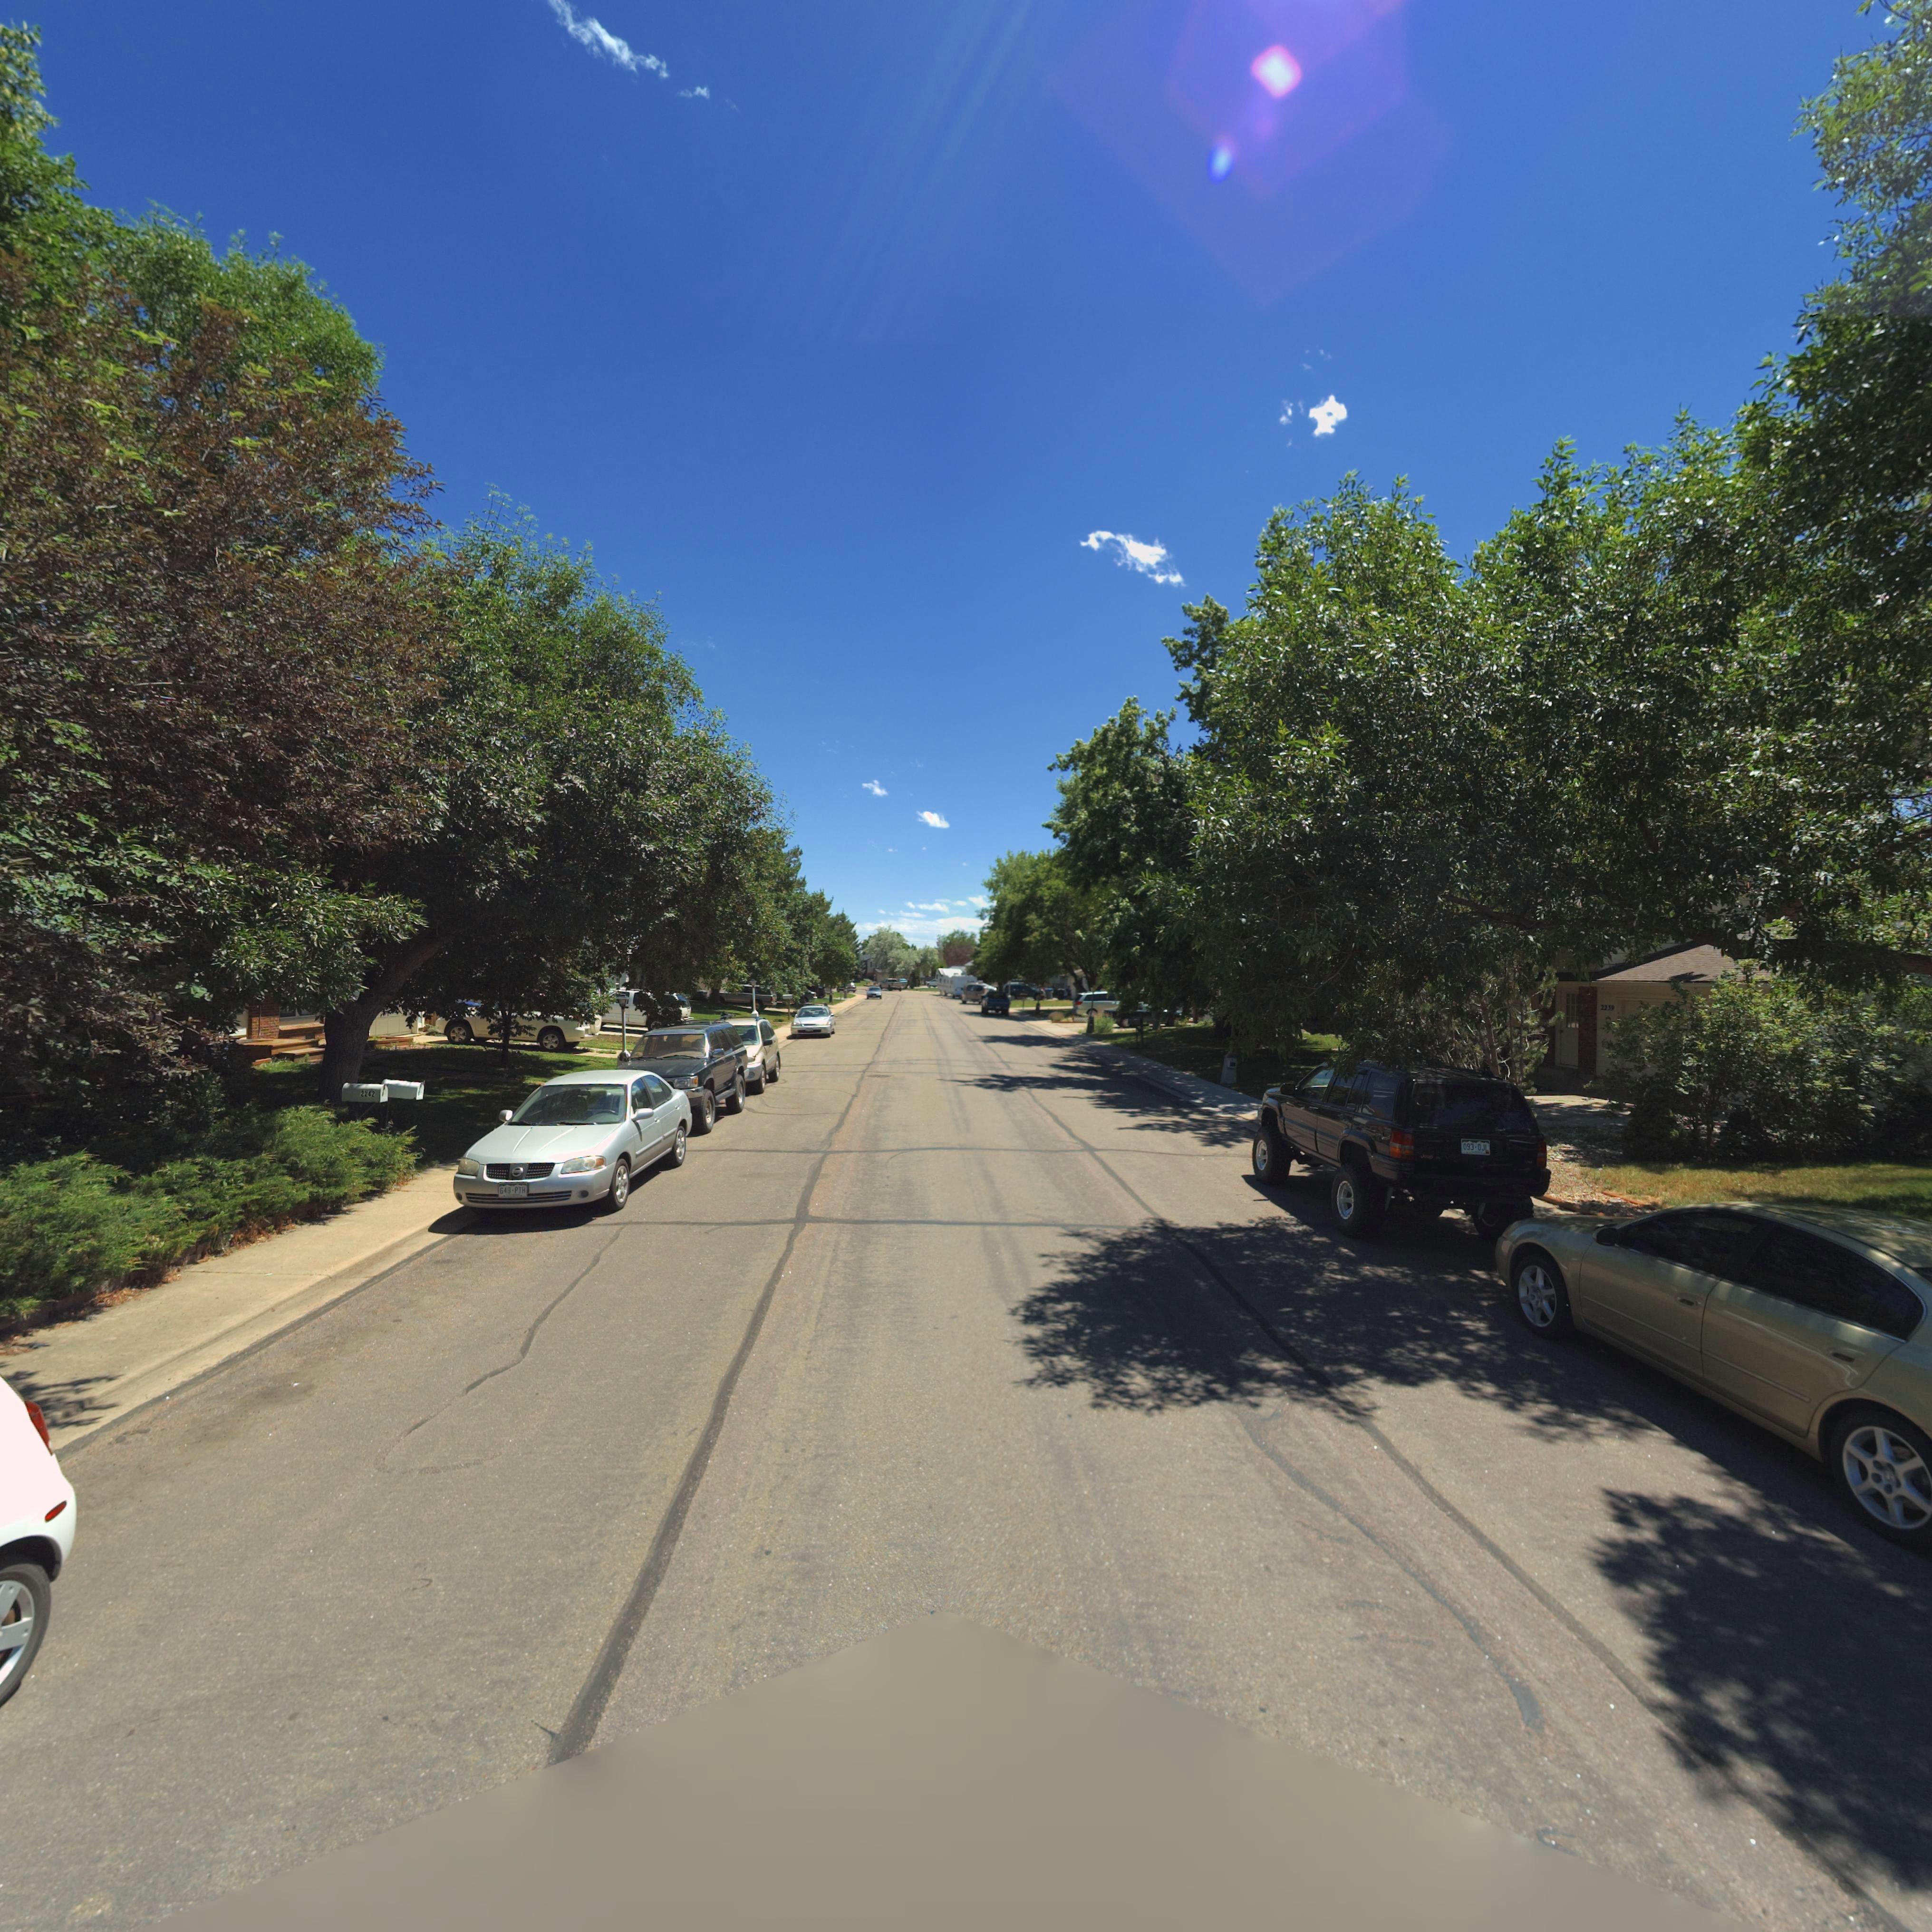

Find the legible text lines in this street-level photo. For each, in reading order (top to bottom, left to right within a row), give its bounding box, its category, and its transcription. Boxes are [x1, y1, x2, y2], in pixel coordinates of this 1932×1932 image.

[1600, 1004, 1615, 1011] None: 22**
[360, 1090, 375, 1097] StreetNumber: 2242